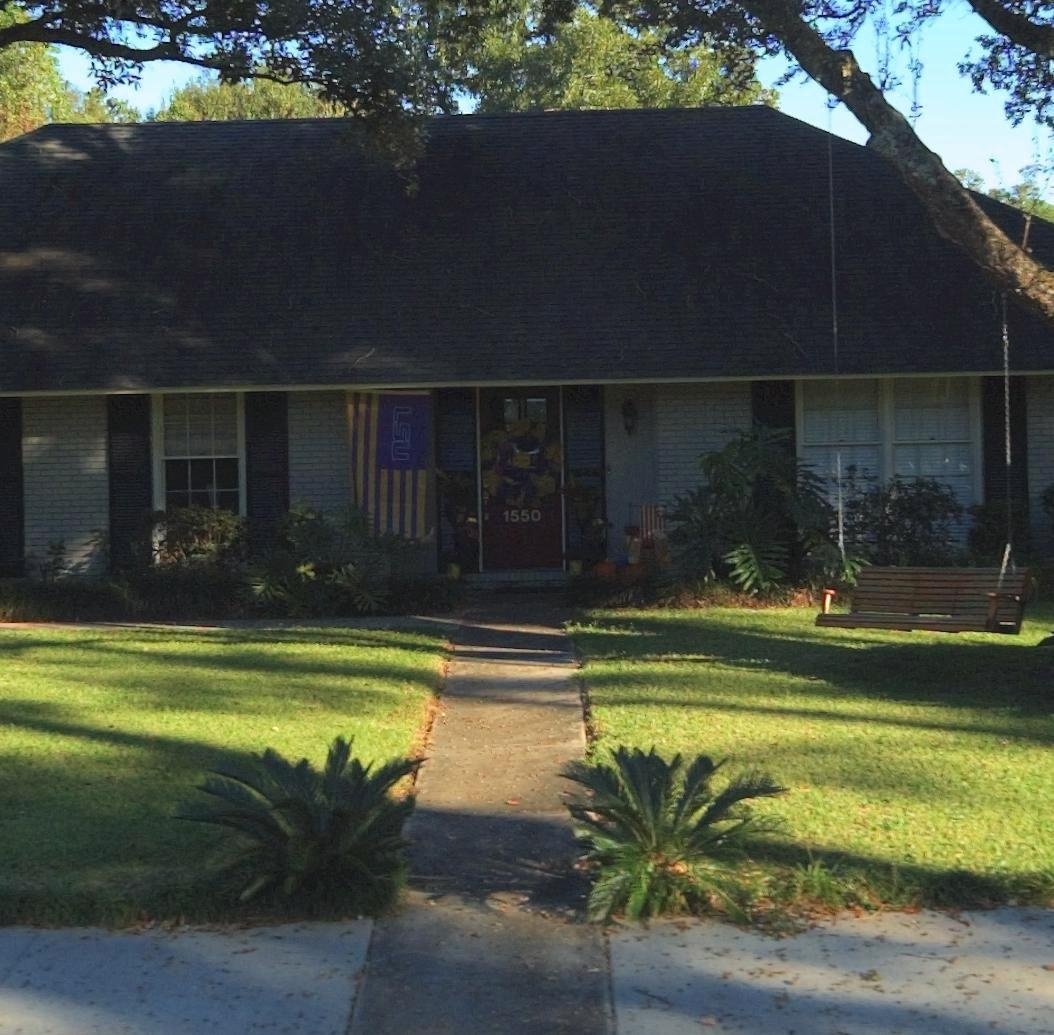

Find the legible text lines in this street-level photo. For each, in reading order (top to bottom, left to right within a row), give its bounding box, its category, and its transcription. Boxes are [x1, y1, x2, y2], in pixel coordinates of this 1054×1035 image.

[389, 405, 414, 463] None: LSU
[501, 507, 543, 525] StreetNumber: 1550